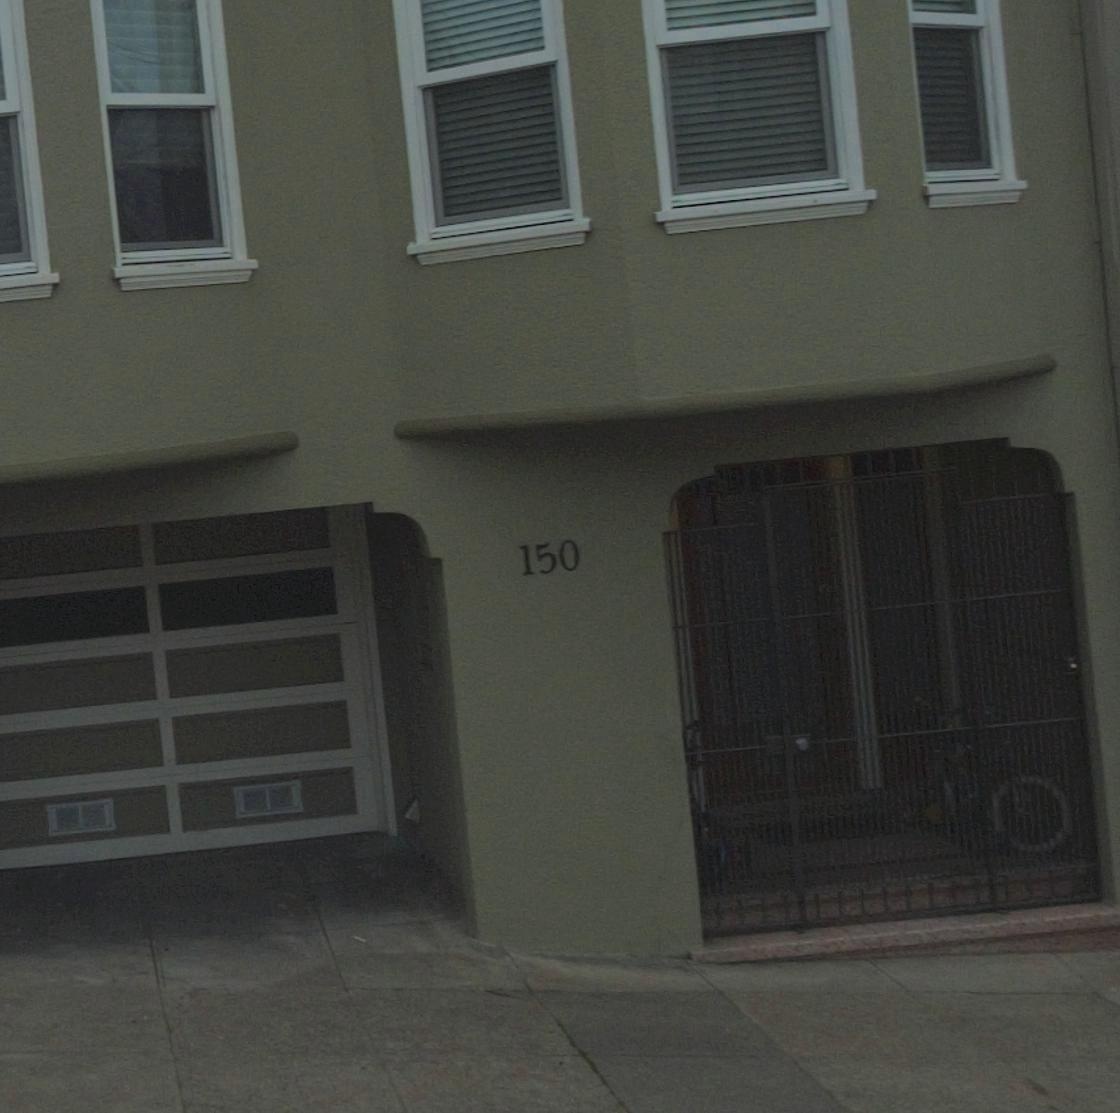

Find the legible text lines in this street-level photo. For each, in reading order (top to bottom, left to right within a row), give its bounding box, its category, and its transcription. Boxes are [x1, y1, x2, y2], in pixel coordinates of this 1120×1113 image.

[517, 538, 582, 577] StreetNumber: 150